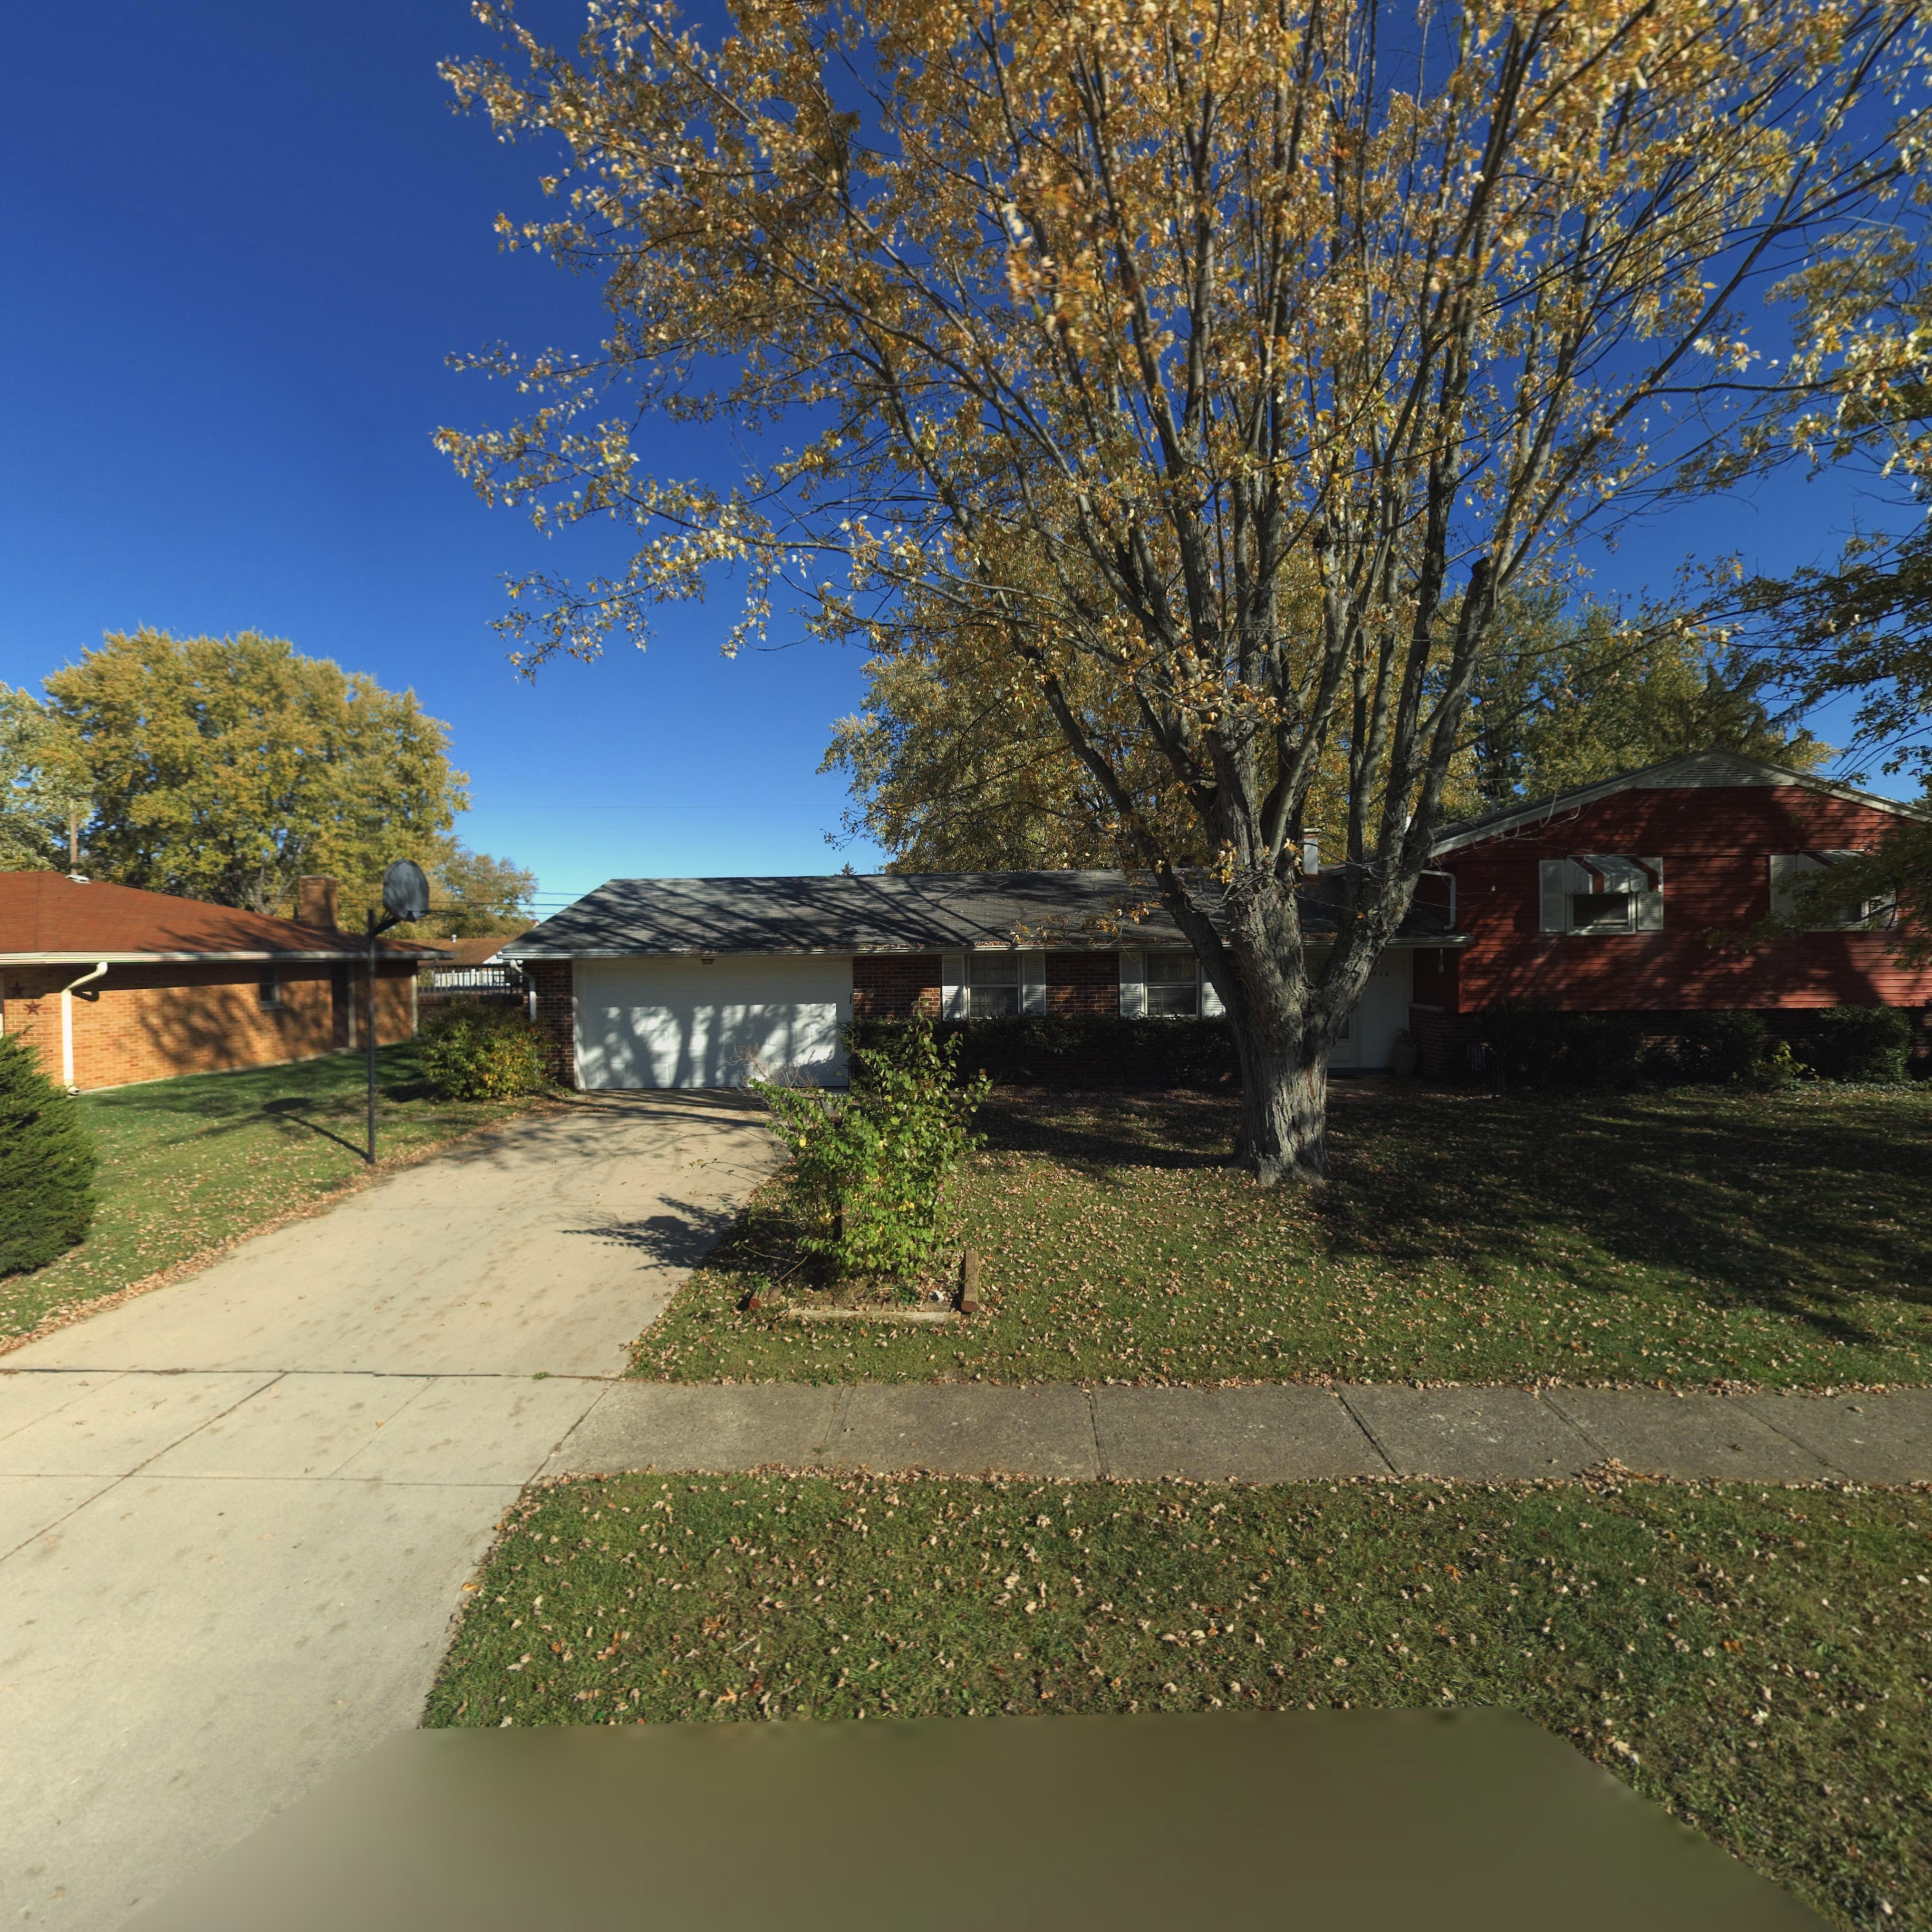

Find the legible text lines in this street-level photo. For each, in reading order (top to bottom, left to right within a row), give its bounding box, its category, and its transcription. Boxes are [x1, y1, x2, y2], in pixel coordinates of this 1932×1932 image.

[1372, 970, 1389, 977] StreetNumber: 826